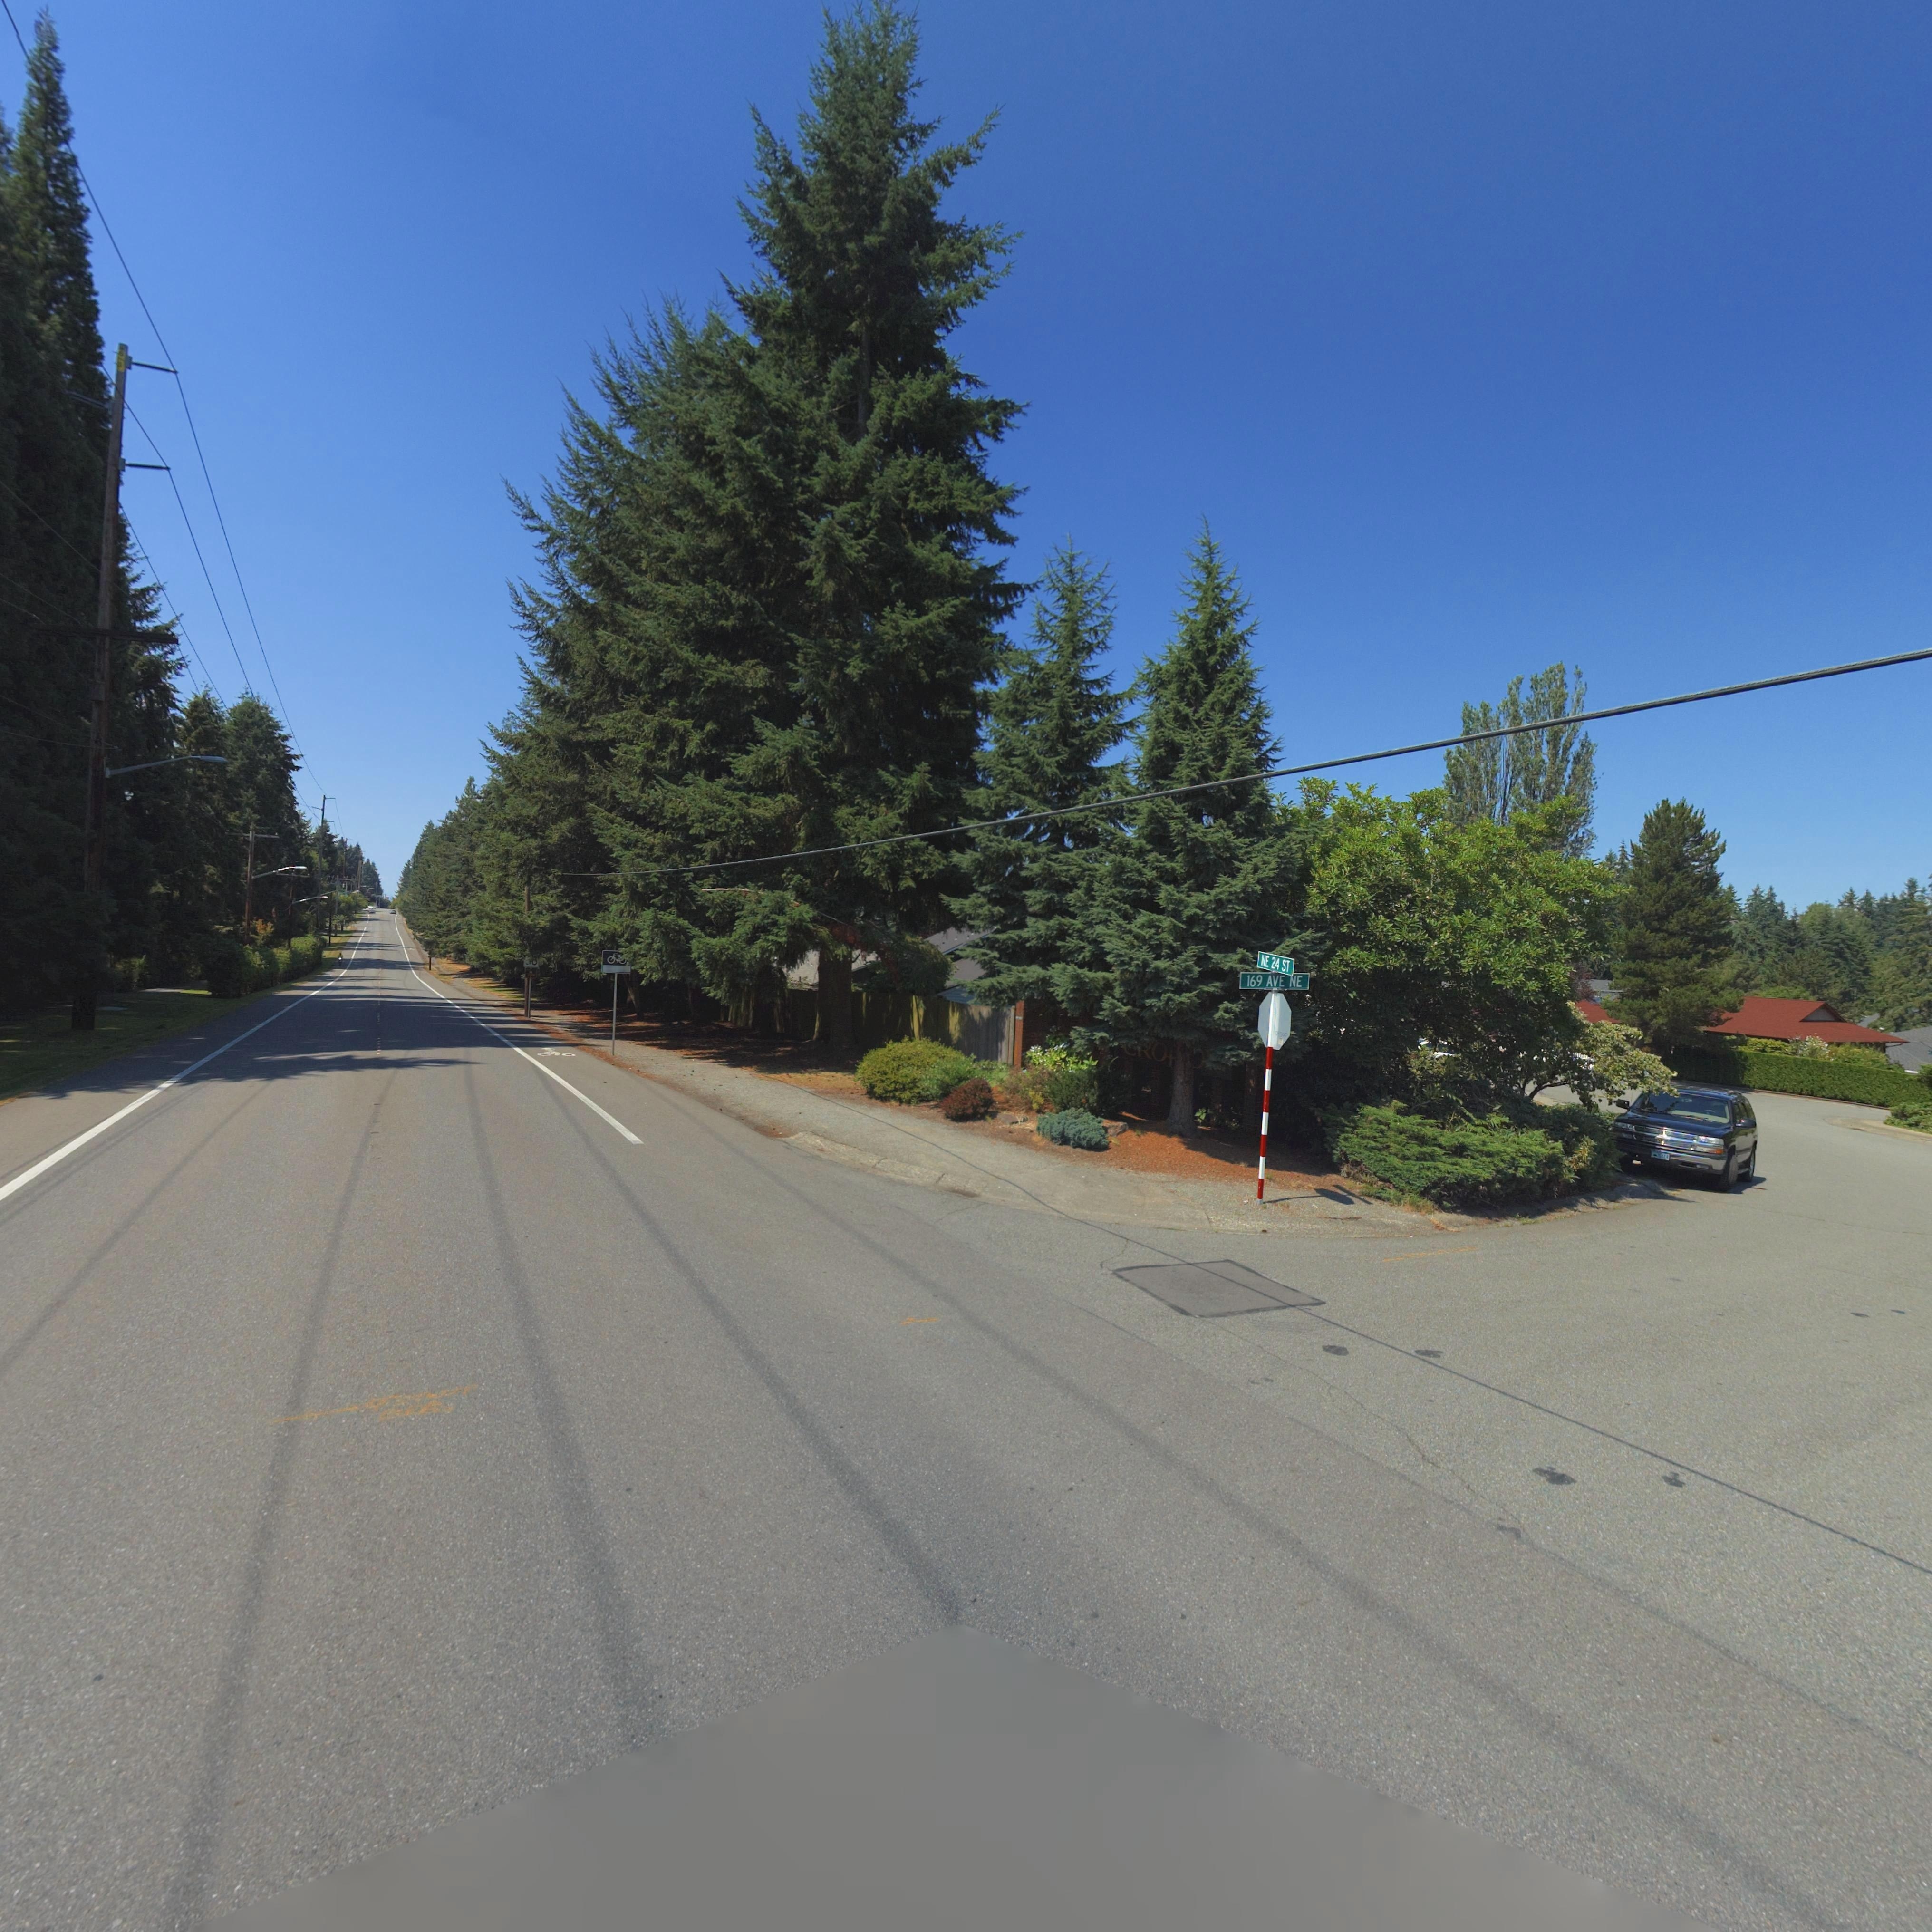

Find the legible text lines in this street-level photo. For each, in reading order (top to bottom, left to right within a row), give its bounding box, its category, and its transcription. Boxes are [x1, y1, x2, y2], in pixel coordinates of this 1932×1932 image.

[1260, 953, 1290, 974] StreetName: NE 24 ST
[1246, 974, 1303, 987] StreetName: 169 AVE NE